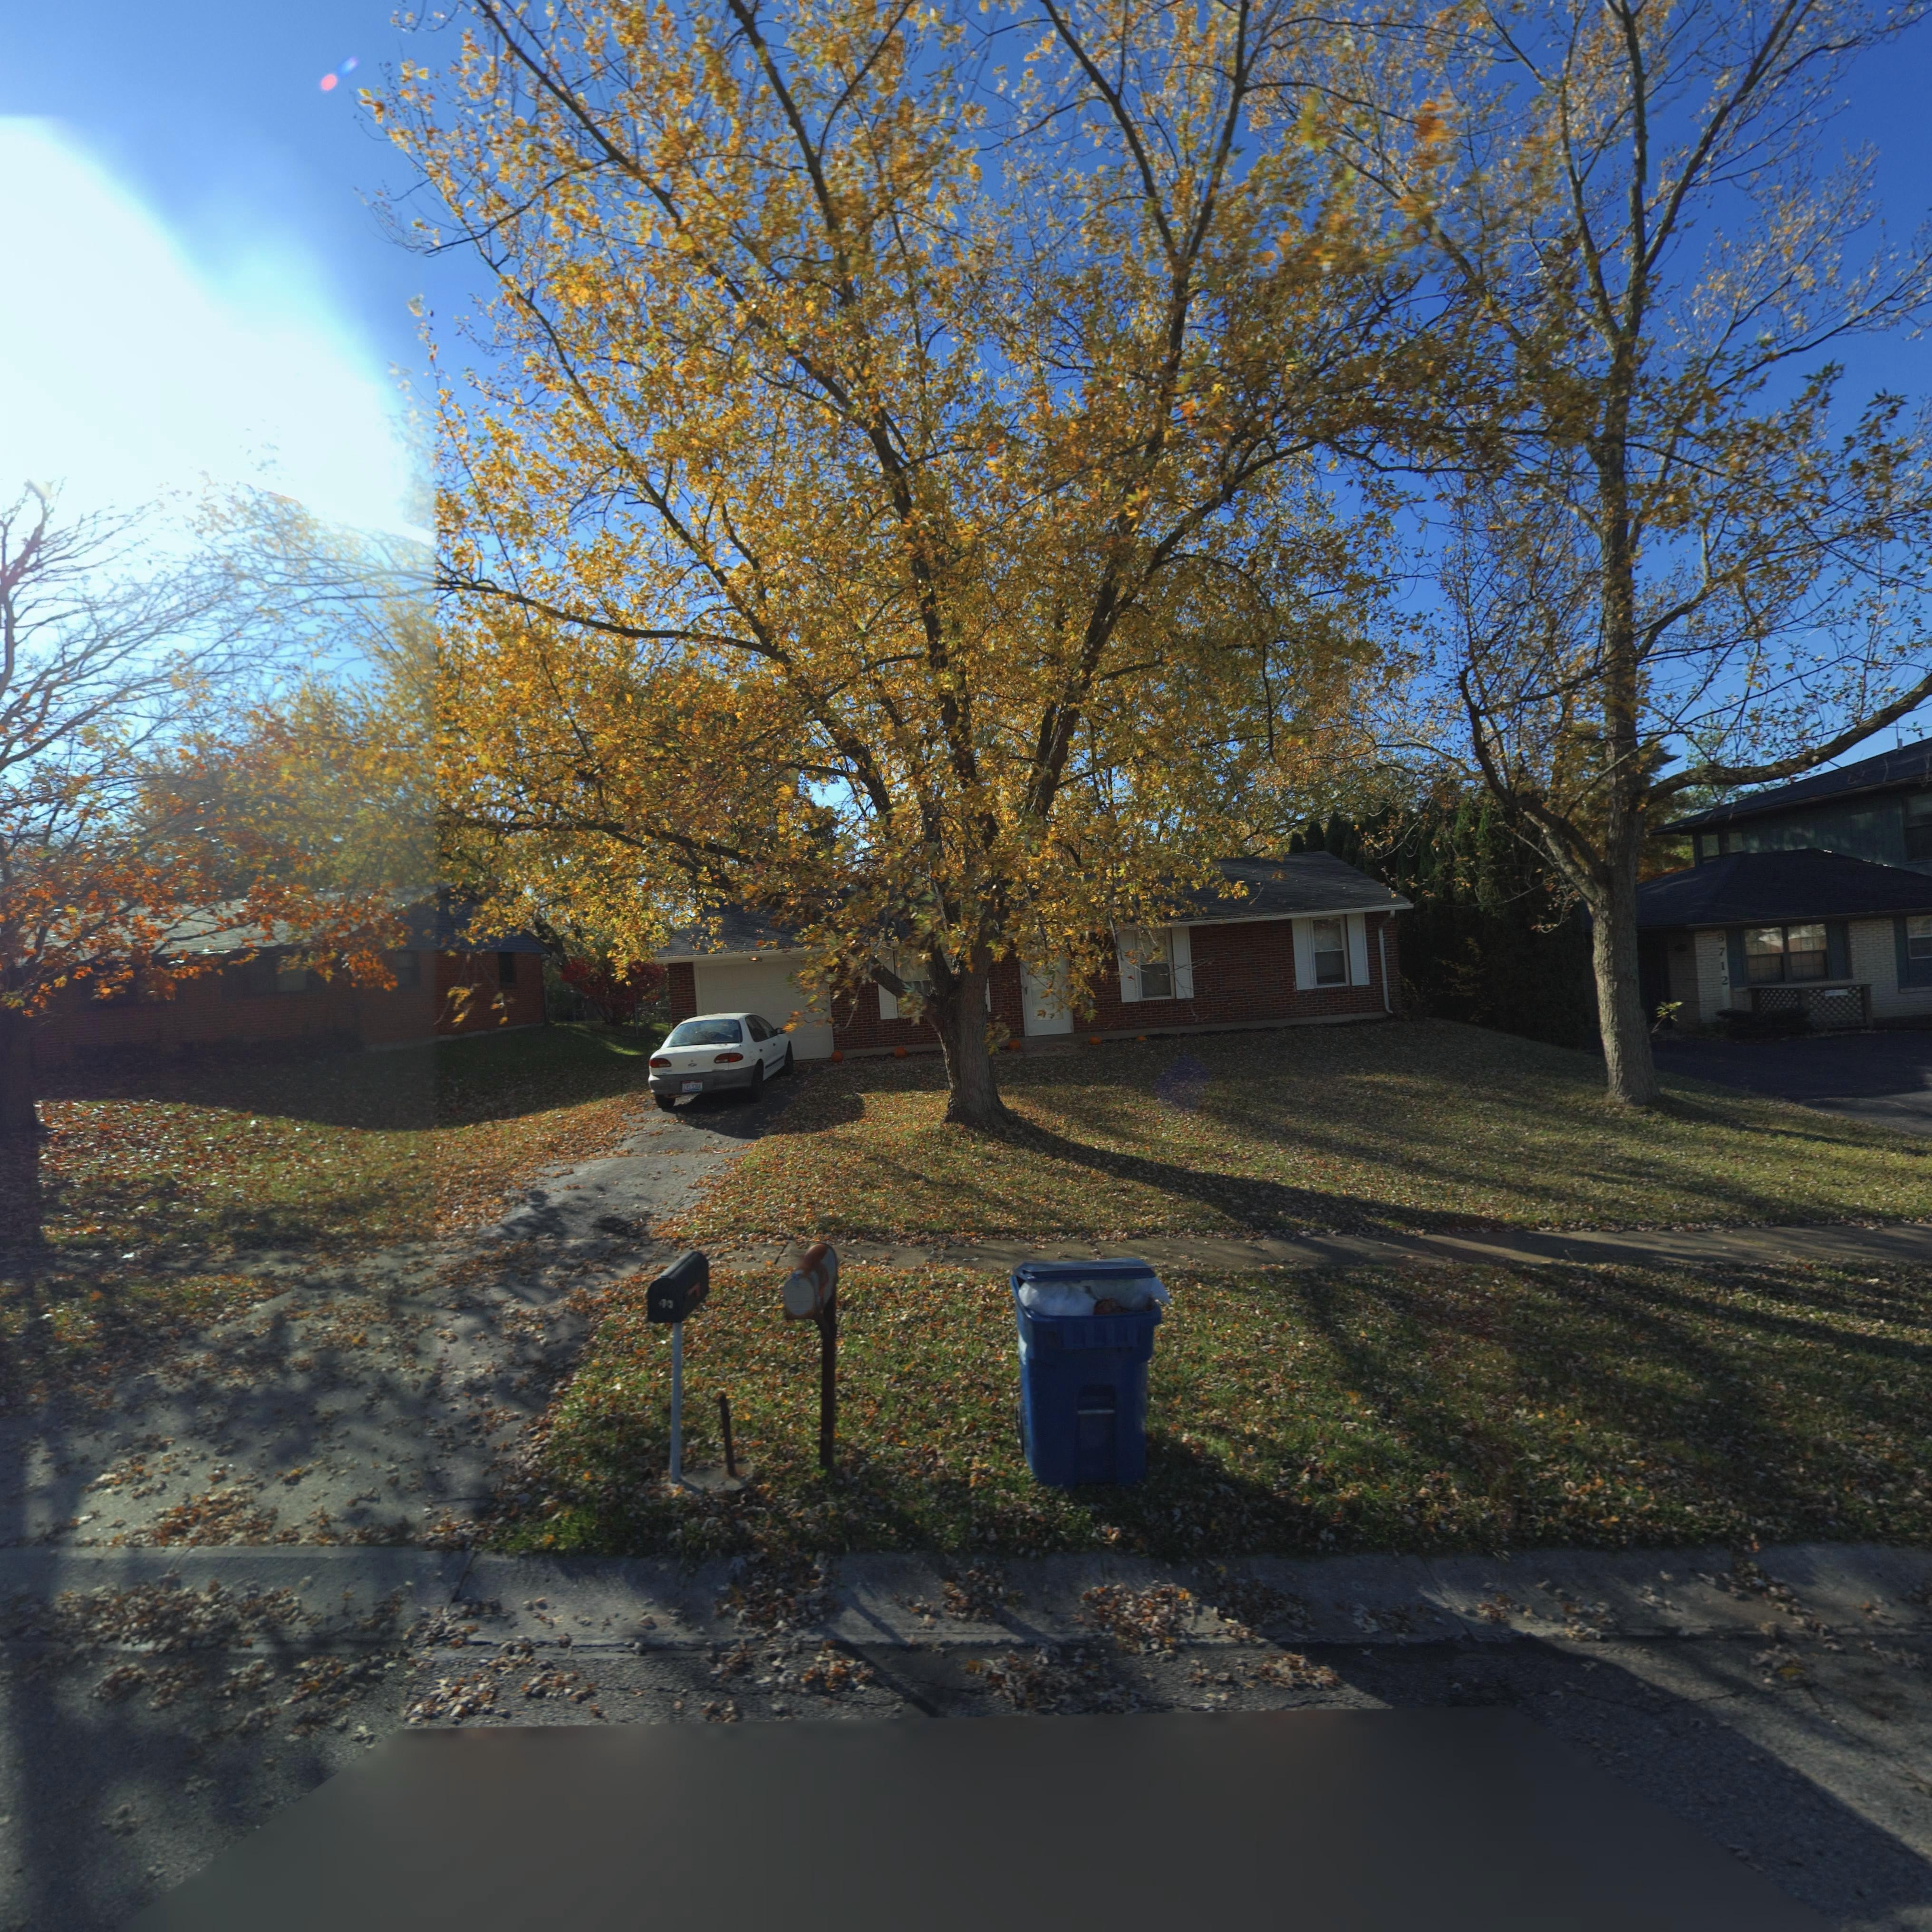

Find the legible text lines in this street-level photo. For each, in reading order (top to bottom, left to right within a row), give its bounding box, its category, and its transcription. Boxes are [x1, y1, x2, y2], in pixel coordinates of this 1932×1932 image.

[1716, 932, 1729, 986] StreetNumber: *71*